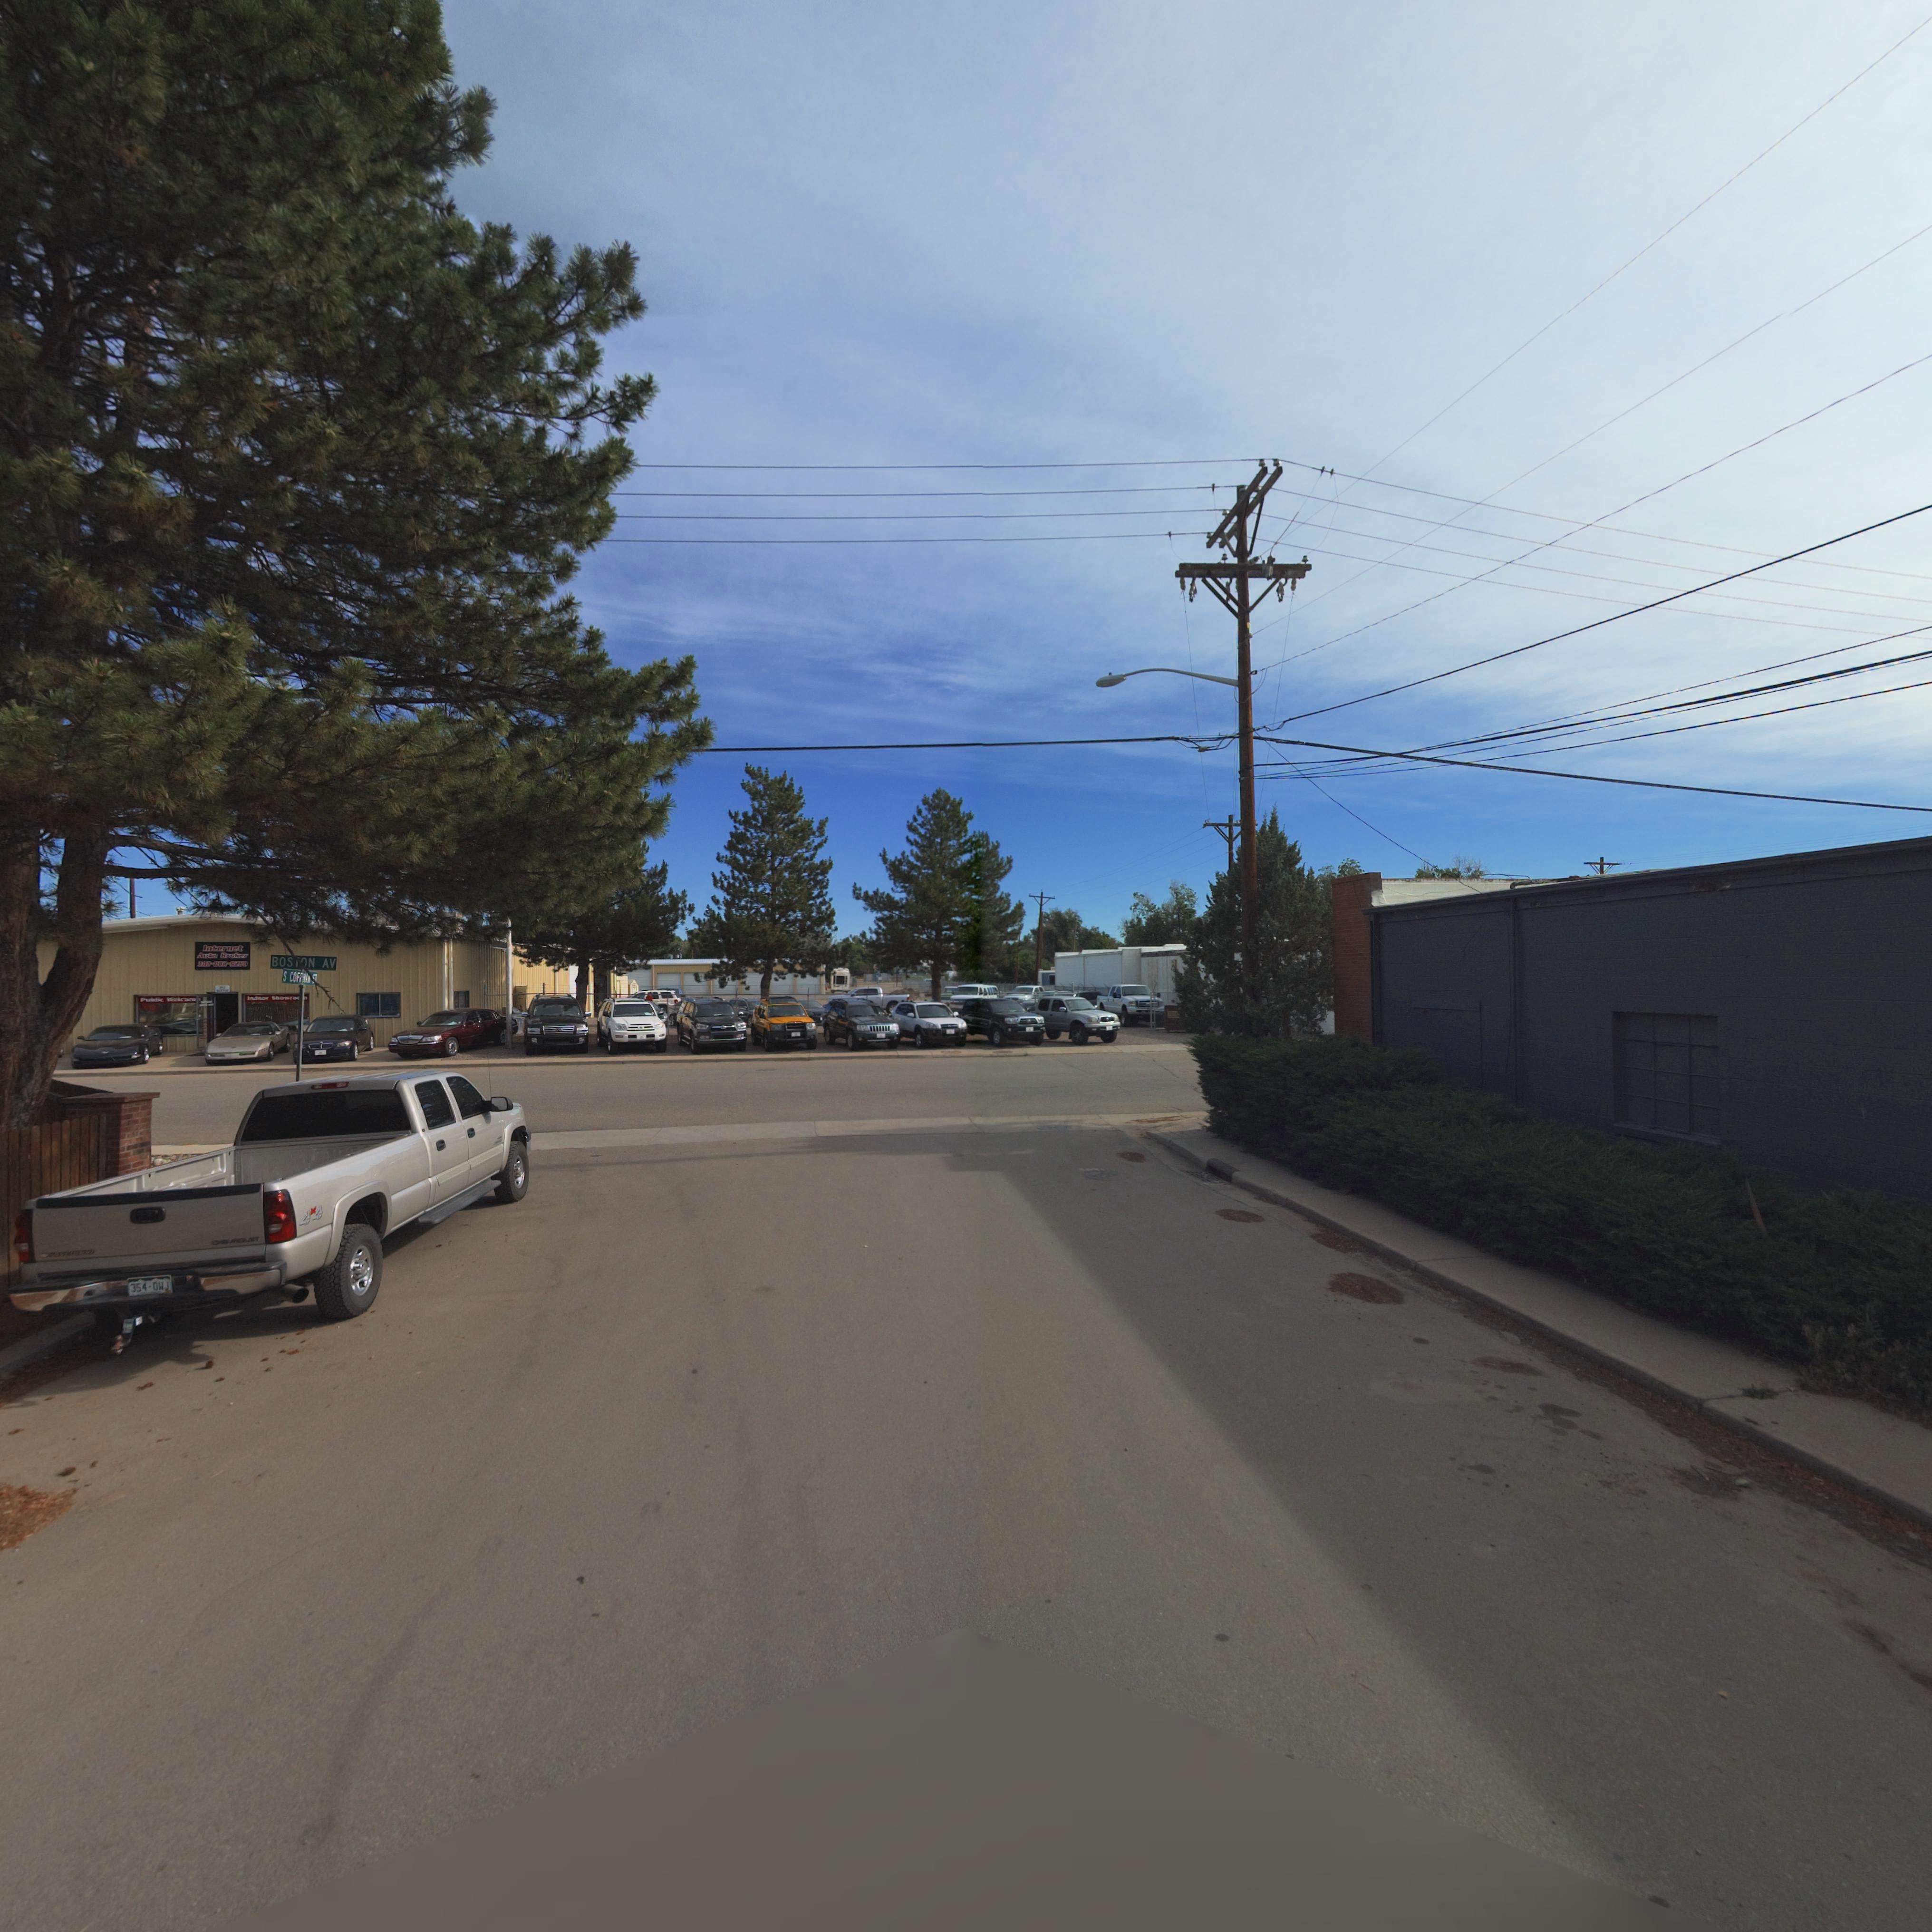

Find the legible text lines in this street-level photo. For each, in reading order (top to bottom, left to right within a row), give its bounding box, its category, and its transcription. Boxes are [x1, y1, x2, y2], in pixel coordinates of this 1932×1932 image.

[202, 945, 243, 951] BusinessName: Internet
[195, 951, 249, 958] BusinessName: Auto Broker
[271, 956, 337, 968] StreetName: BOSTON AV
[282, 970, 318, 983] StreetName: S COFFMAN ST